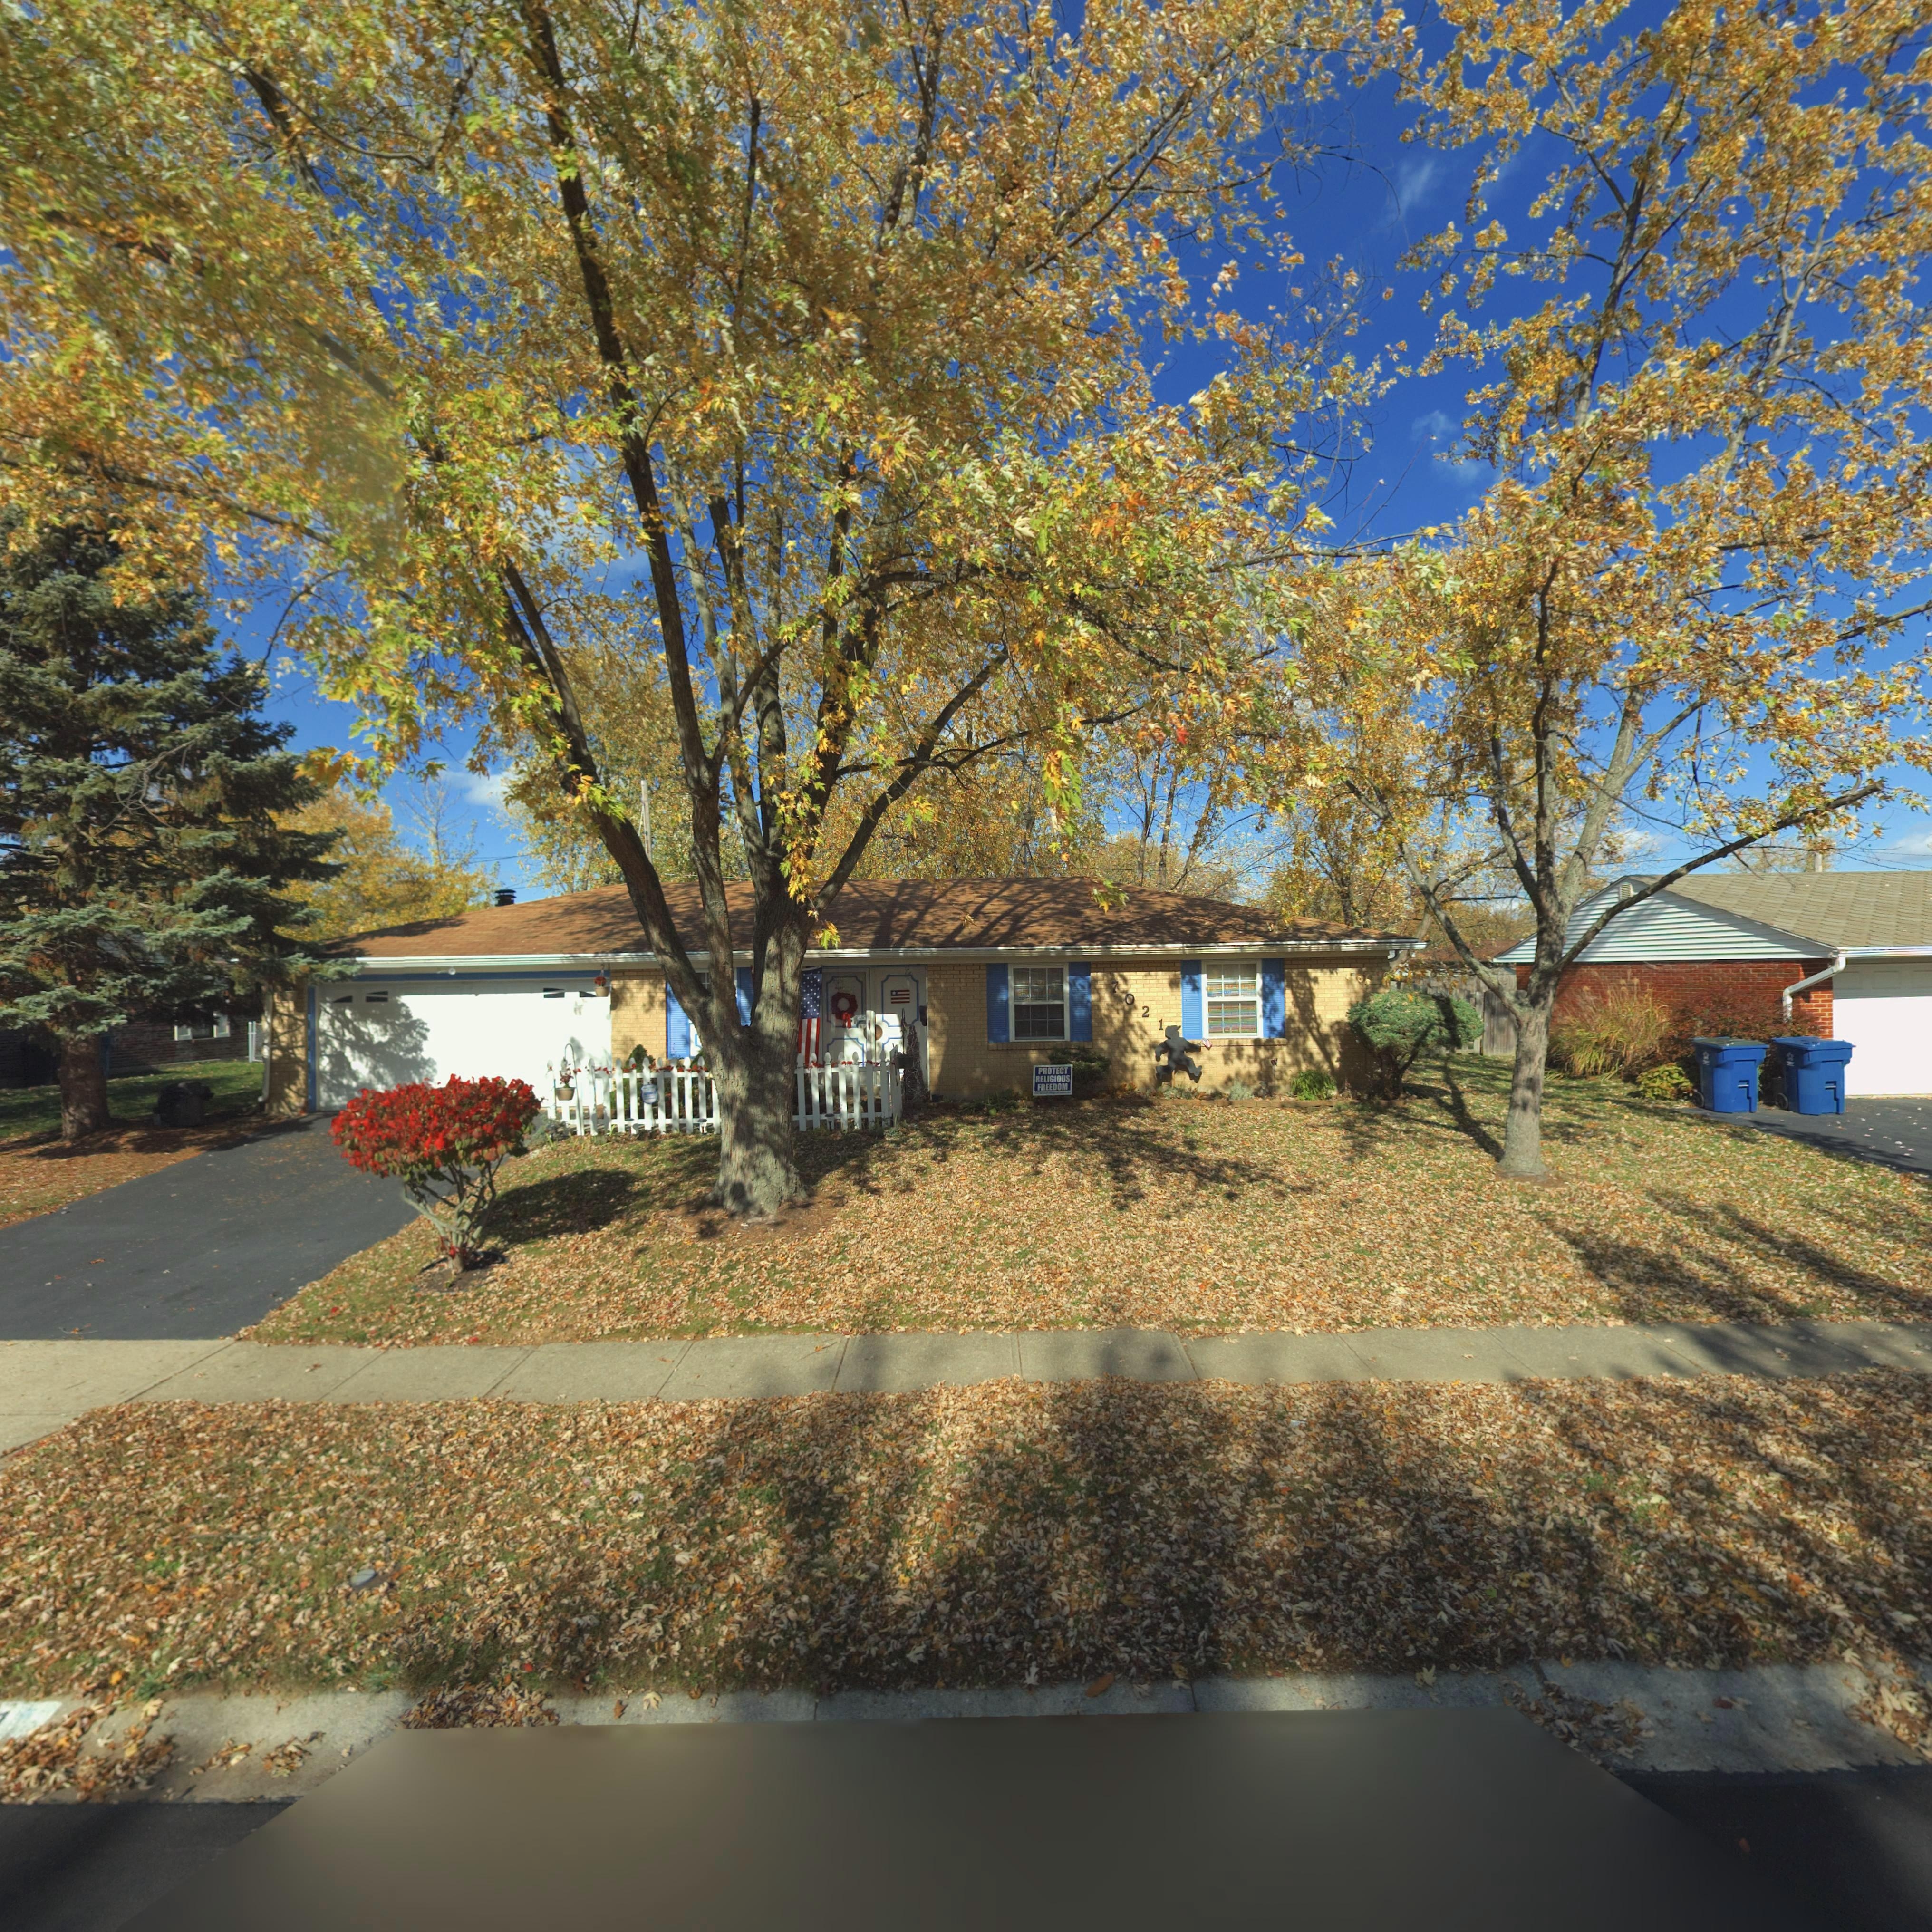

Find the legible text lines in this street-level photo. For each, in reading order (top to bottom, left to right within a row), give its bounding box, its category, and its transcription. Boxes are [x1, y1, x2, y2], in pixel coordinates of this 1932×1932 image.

[1111, 980, 1164, 1032] StreetNumber: 7021